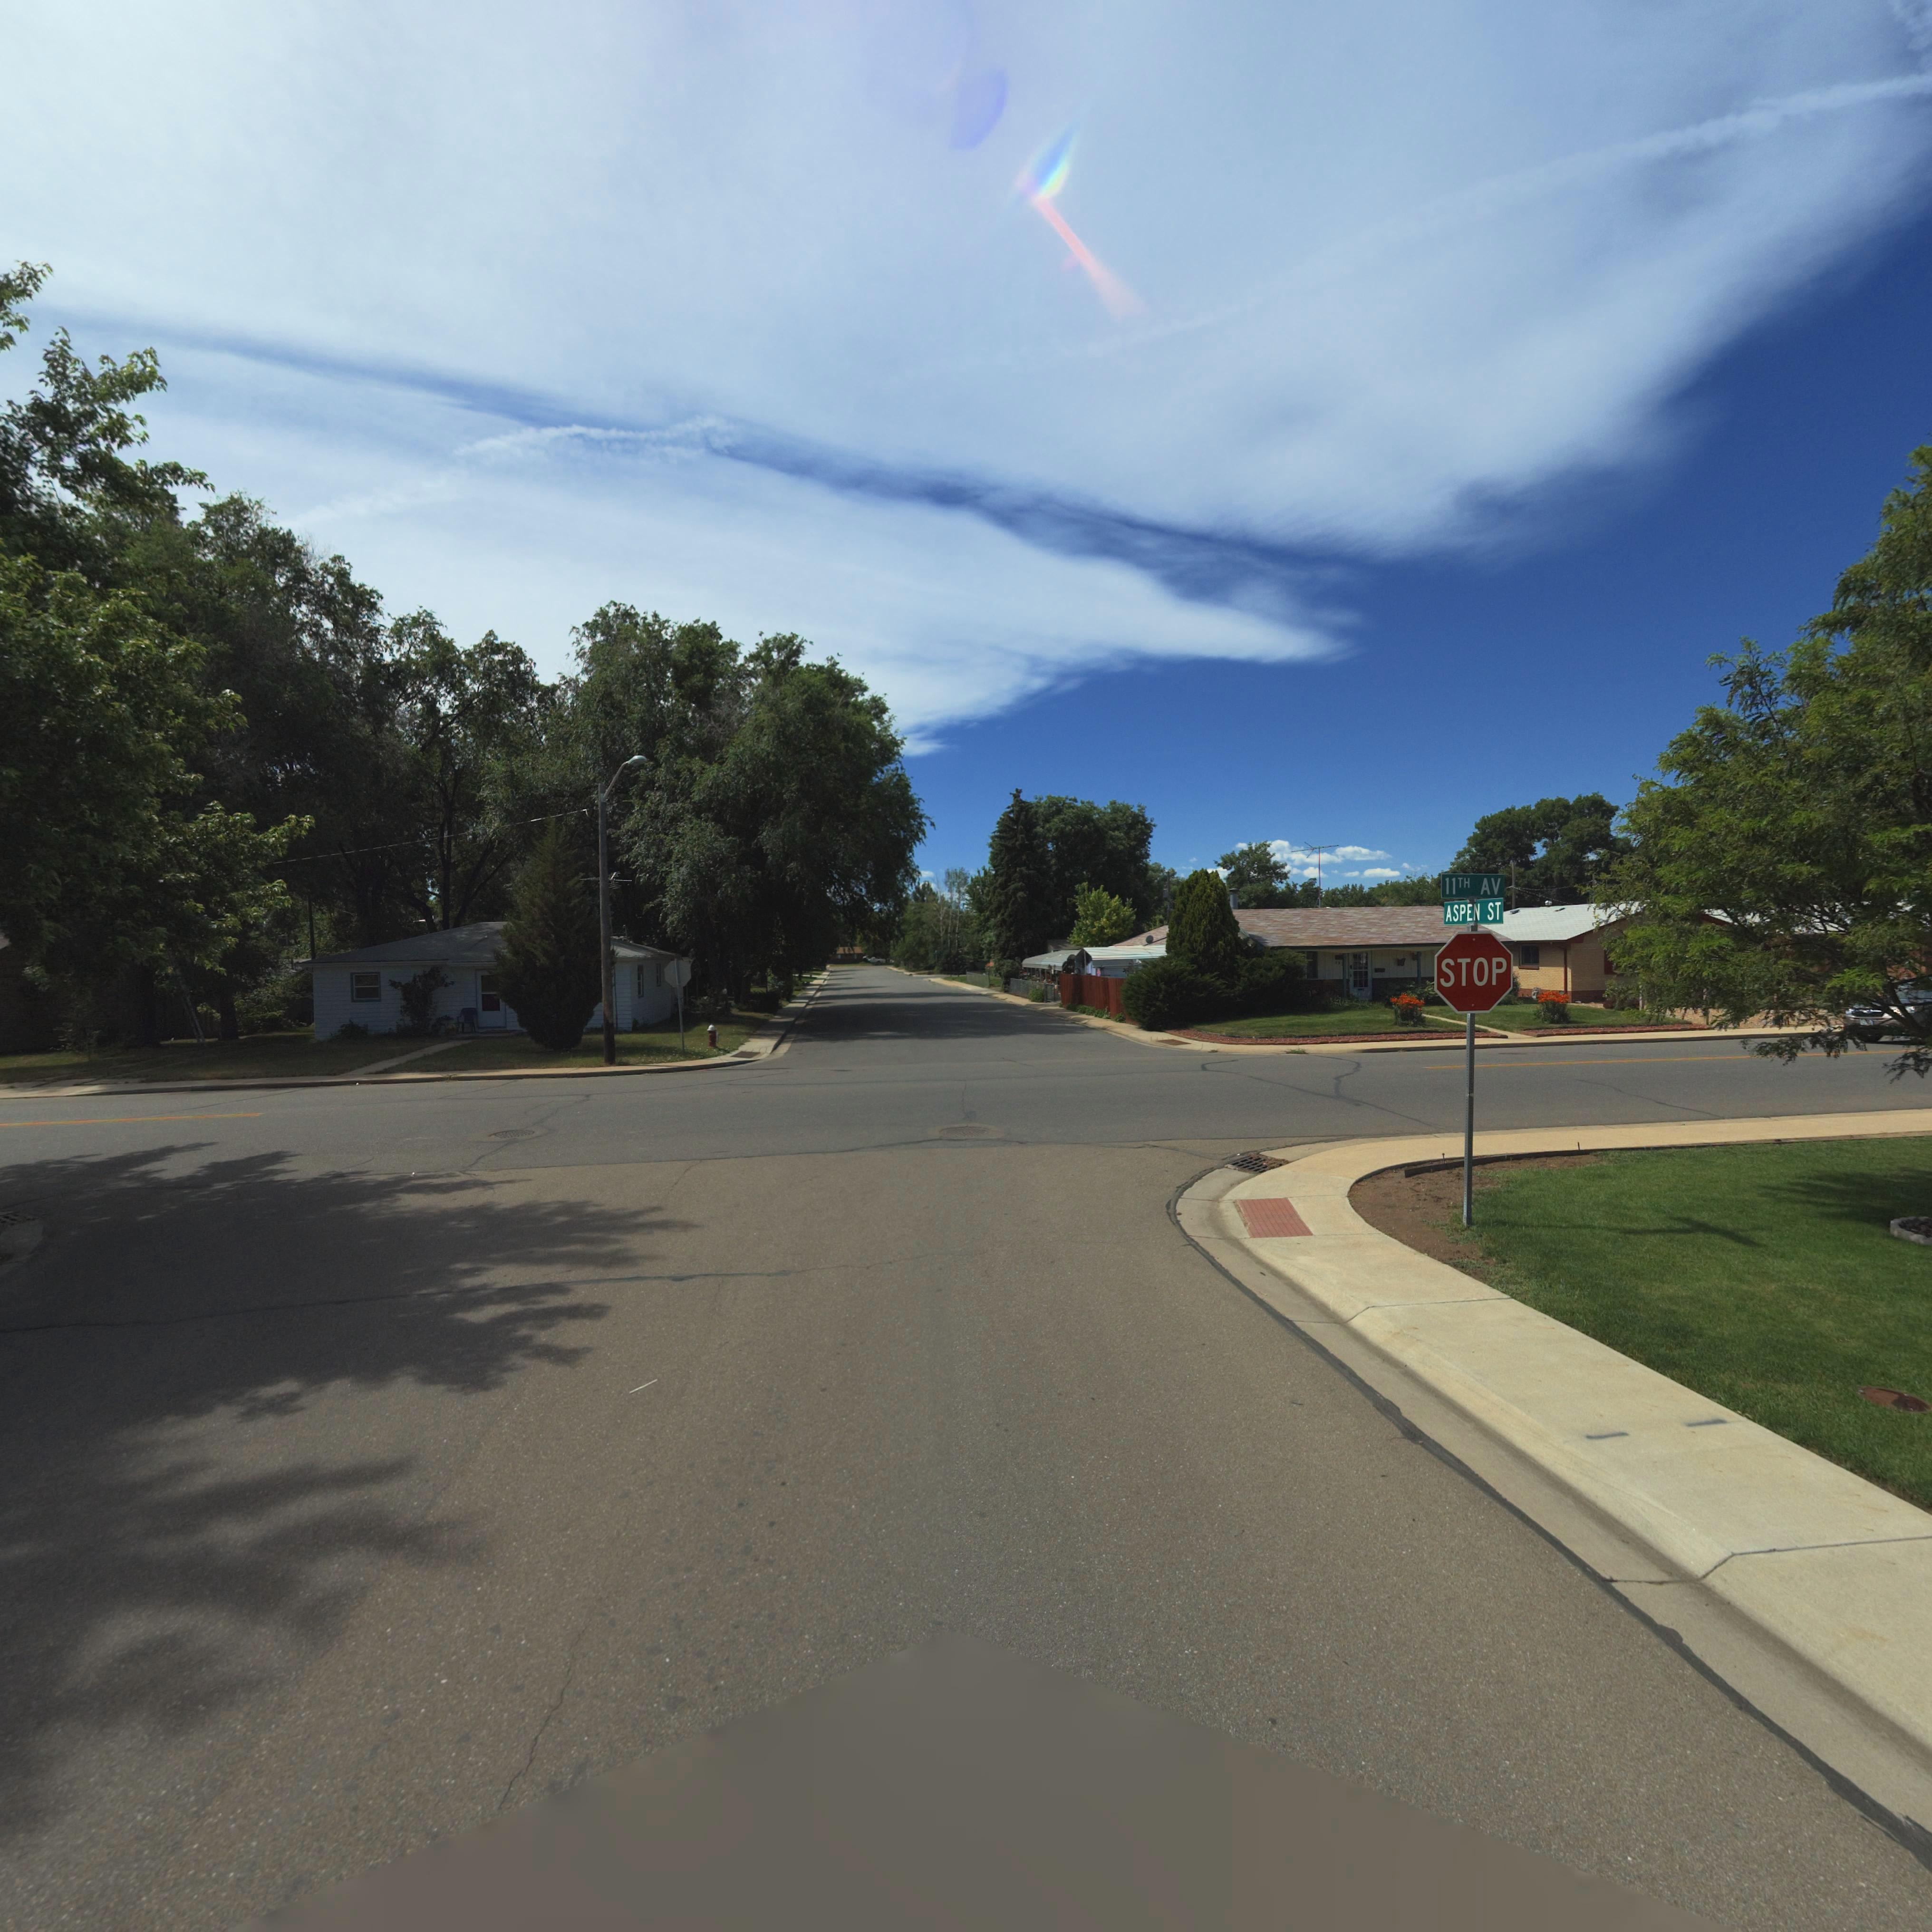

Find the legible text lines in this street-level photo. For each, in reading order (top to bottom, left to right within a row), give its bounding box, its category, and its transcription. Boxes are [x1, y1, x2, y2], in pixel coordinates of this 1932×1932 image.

[1445, 877, 1502, 896] StreetName: 11TH AV
[1445, 901, 1502, 922] StreetName: ASPEN ST
[1335, 960, 1343, 967] StreetNumber: 1**